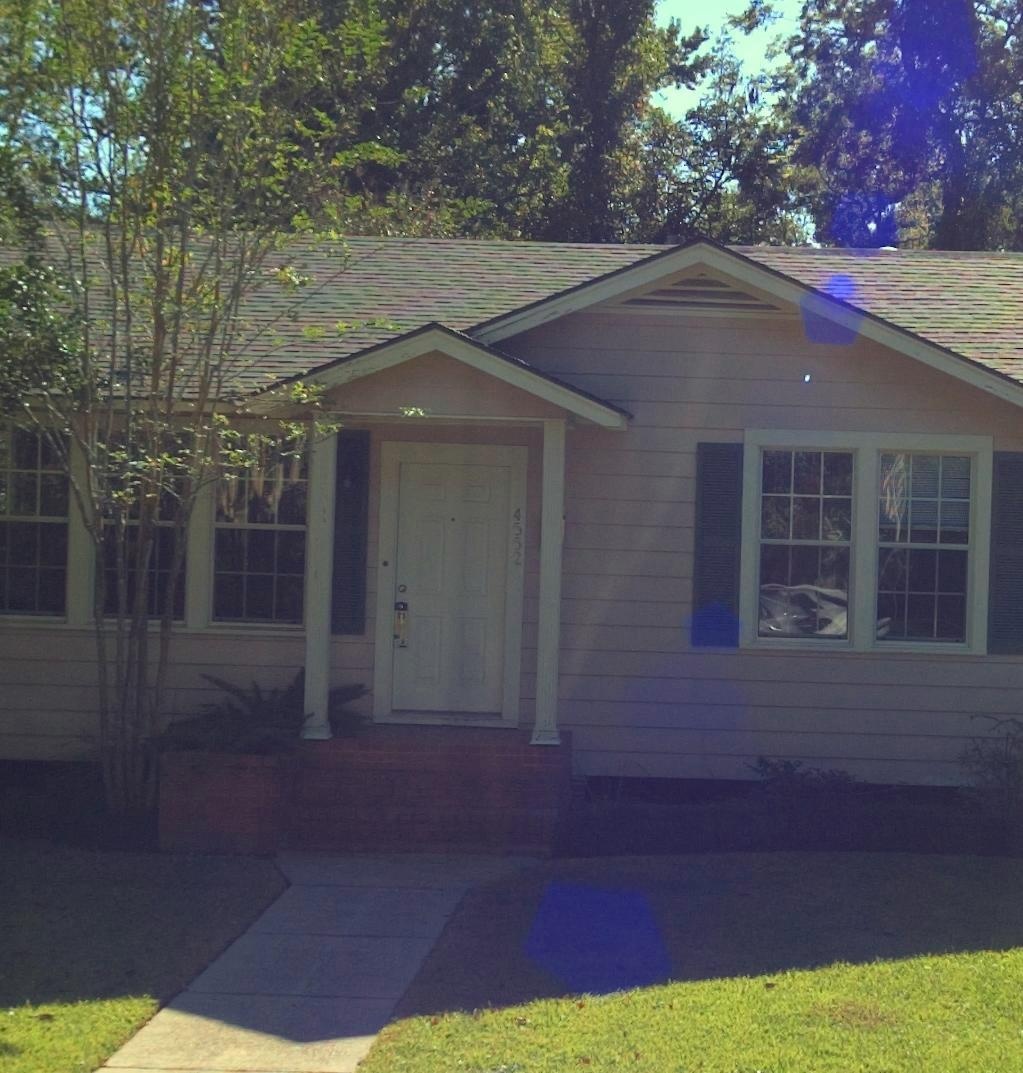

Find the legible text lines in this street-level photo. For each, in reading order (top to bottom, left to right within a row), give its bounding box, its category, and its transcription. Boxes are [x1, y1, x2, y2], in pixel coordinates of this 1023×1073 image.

[510, 506, 524, 568] StreetNumber: 4552